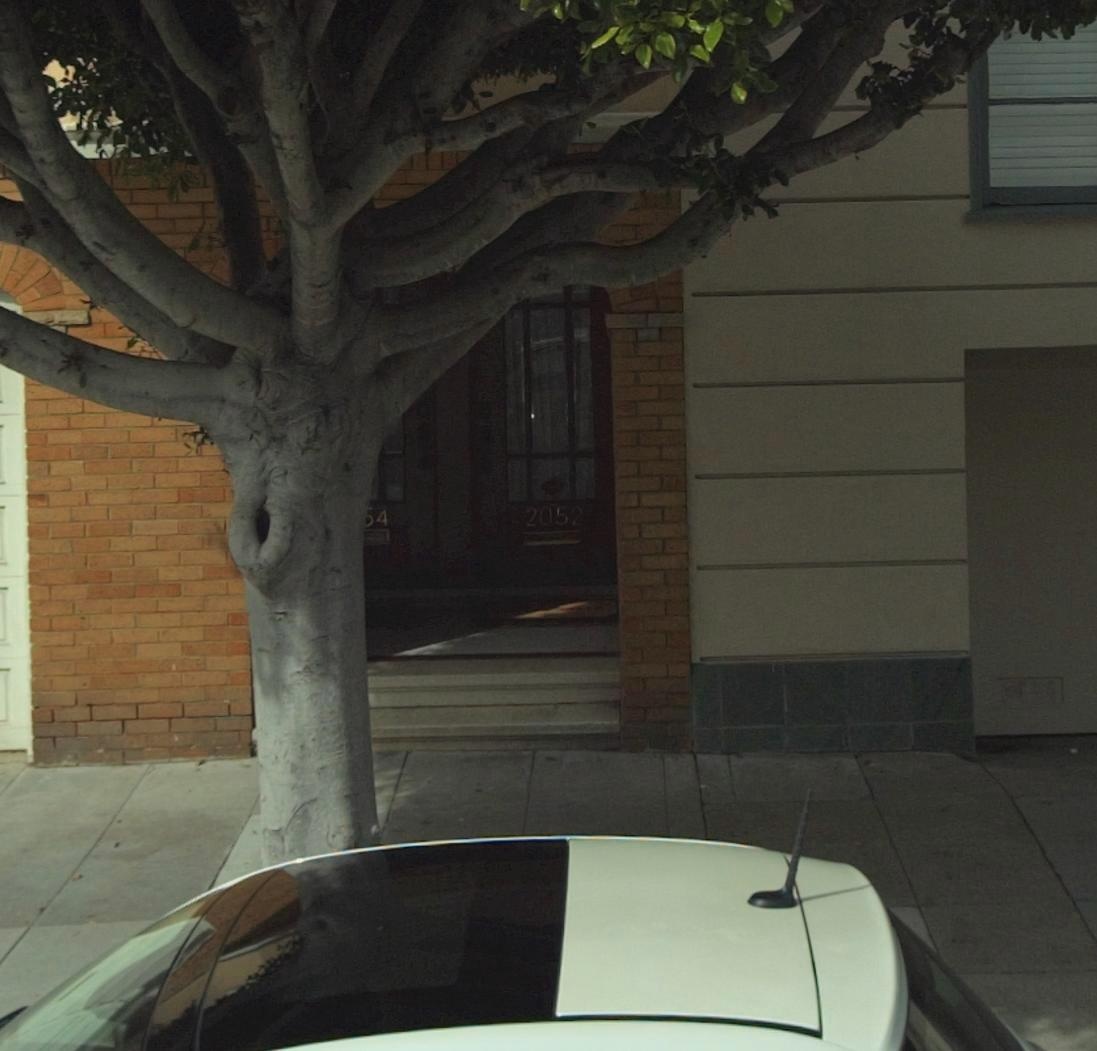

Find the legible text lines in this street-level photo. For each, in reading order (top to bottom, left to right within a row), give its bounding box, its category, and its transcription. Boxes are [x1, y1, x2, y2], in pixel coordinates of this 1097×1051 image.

[374, 506, 391, 529] StreetNumber: 4
[524, 503, 585, 530] StreetNumber: 2052